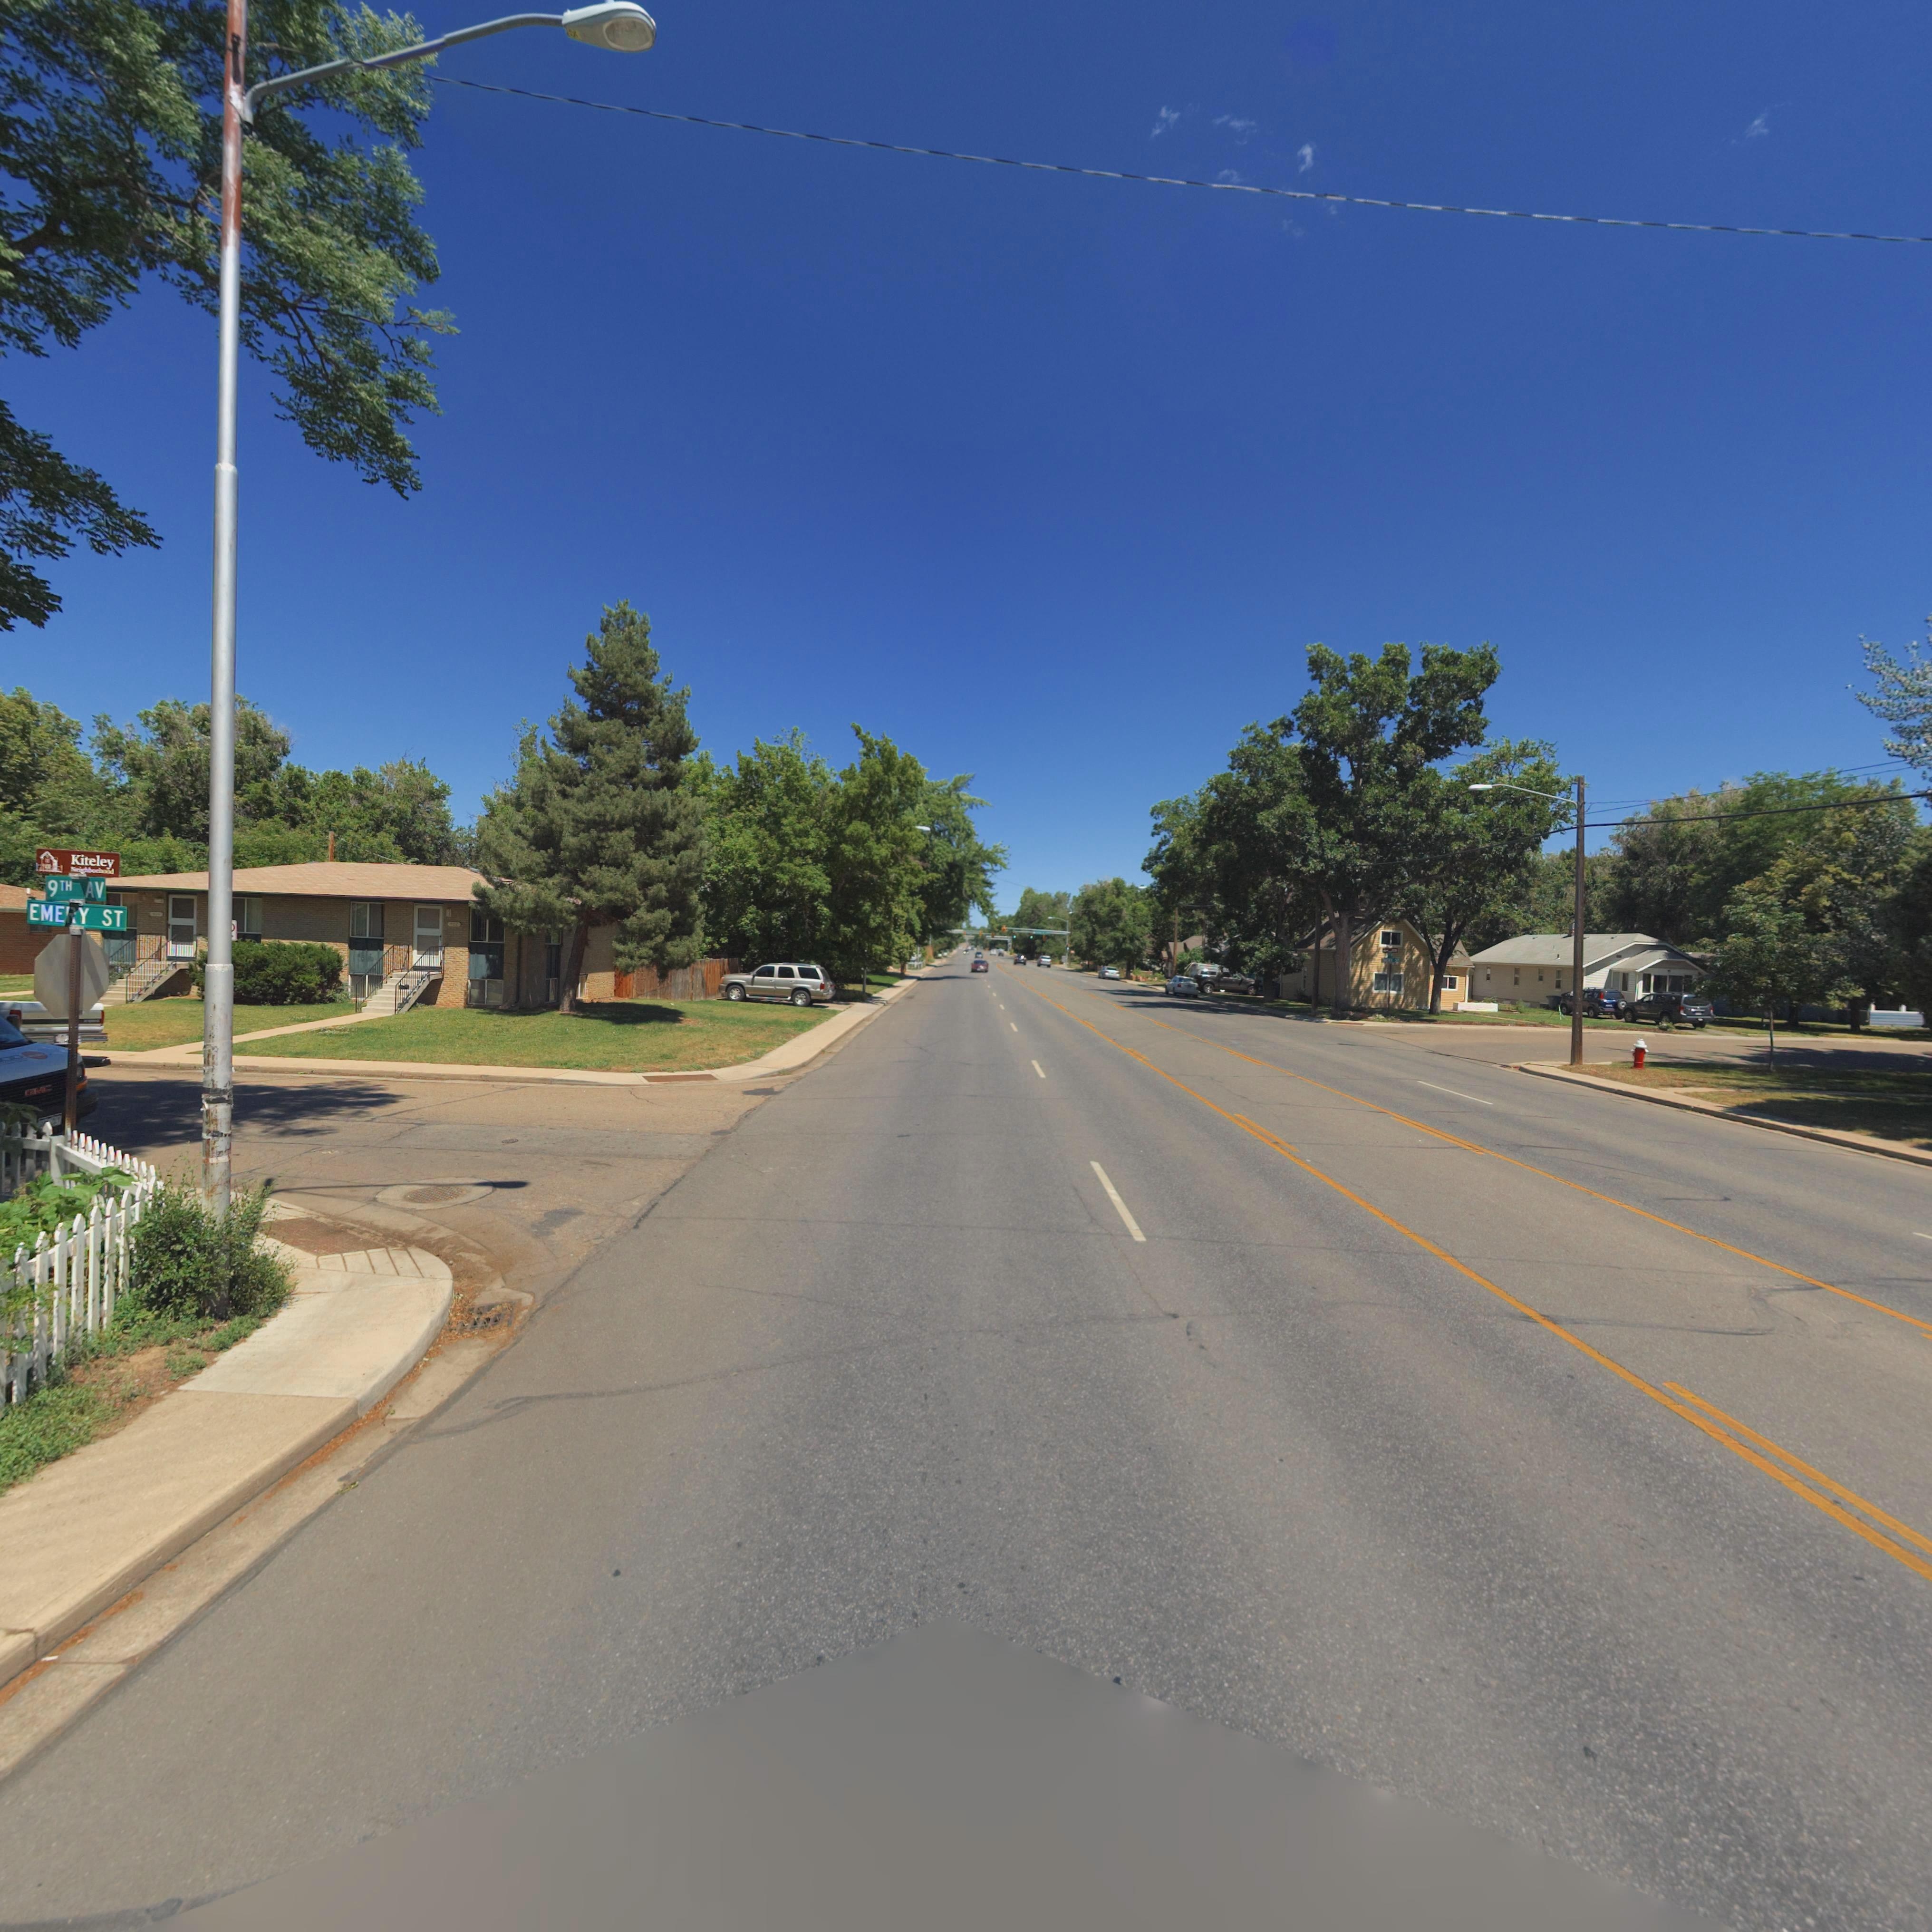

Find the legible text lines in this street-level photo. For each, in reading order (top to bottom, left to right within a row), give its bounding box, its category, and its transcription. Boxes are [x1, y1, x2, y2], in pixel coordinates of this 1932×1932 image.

[47, 879, 105, 898] StreetName: 9TH AV
[29, 902, 124, 927] StreetName: EMERY ST